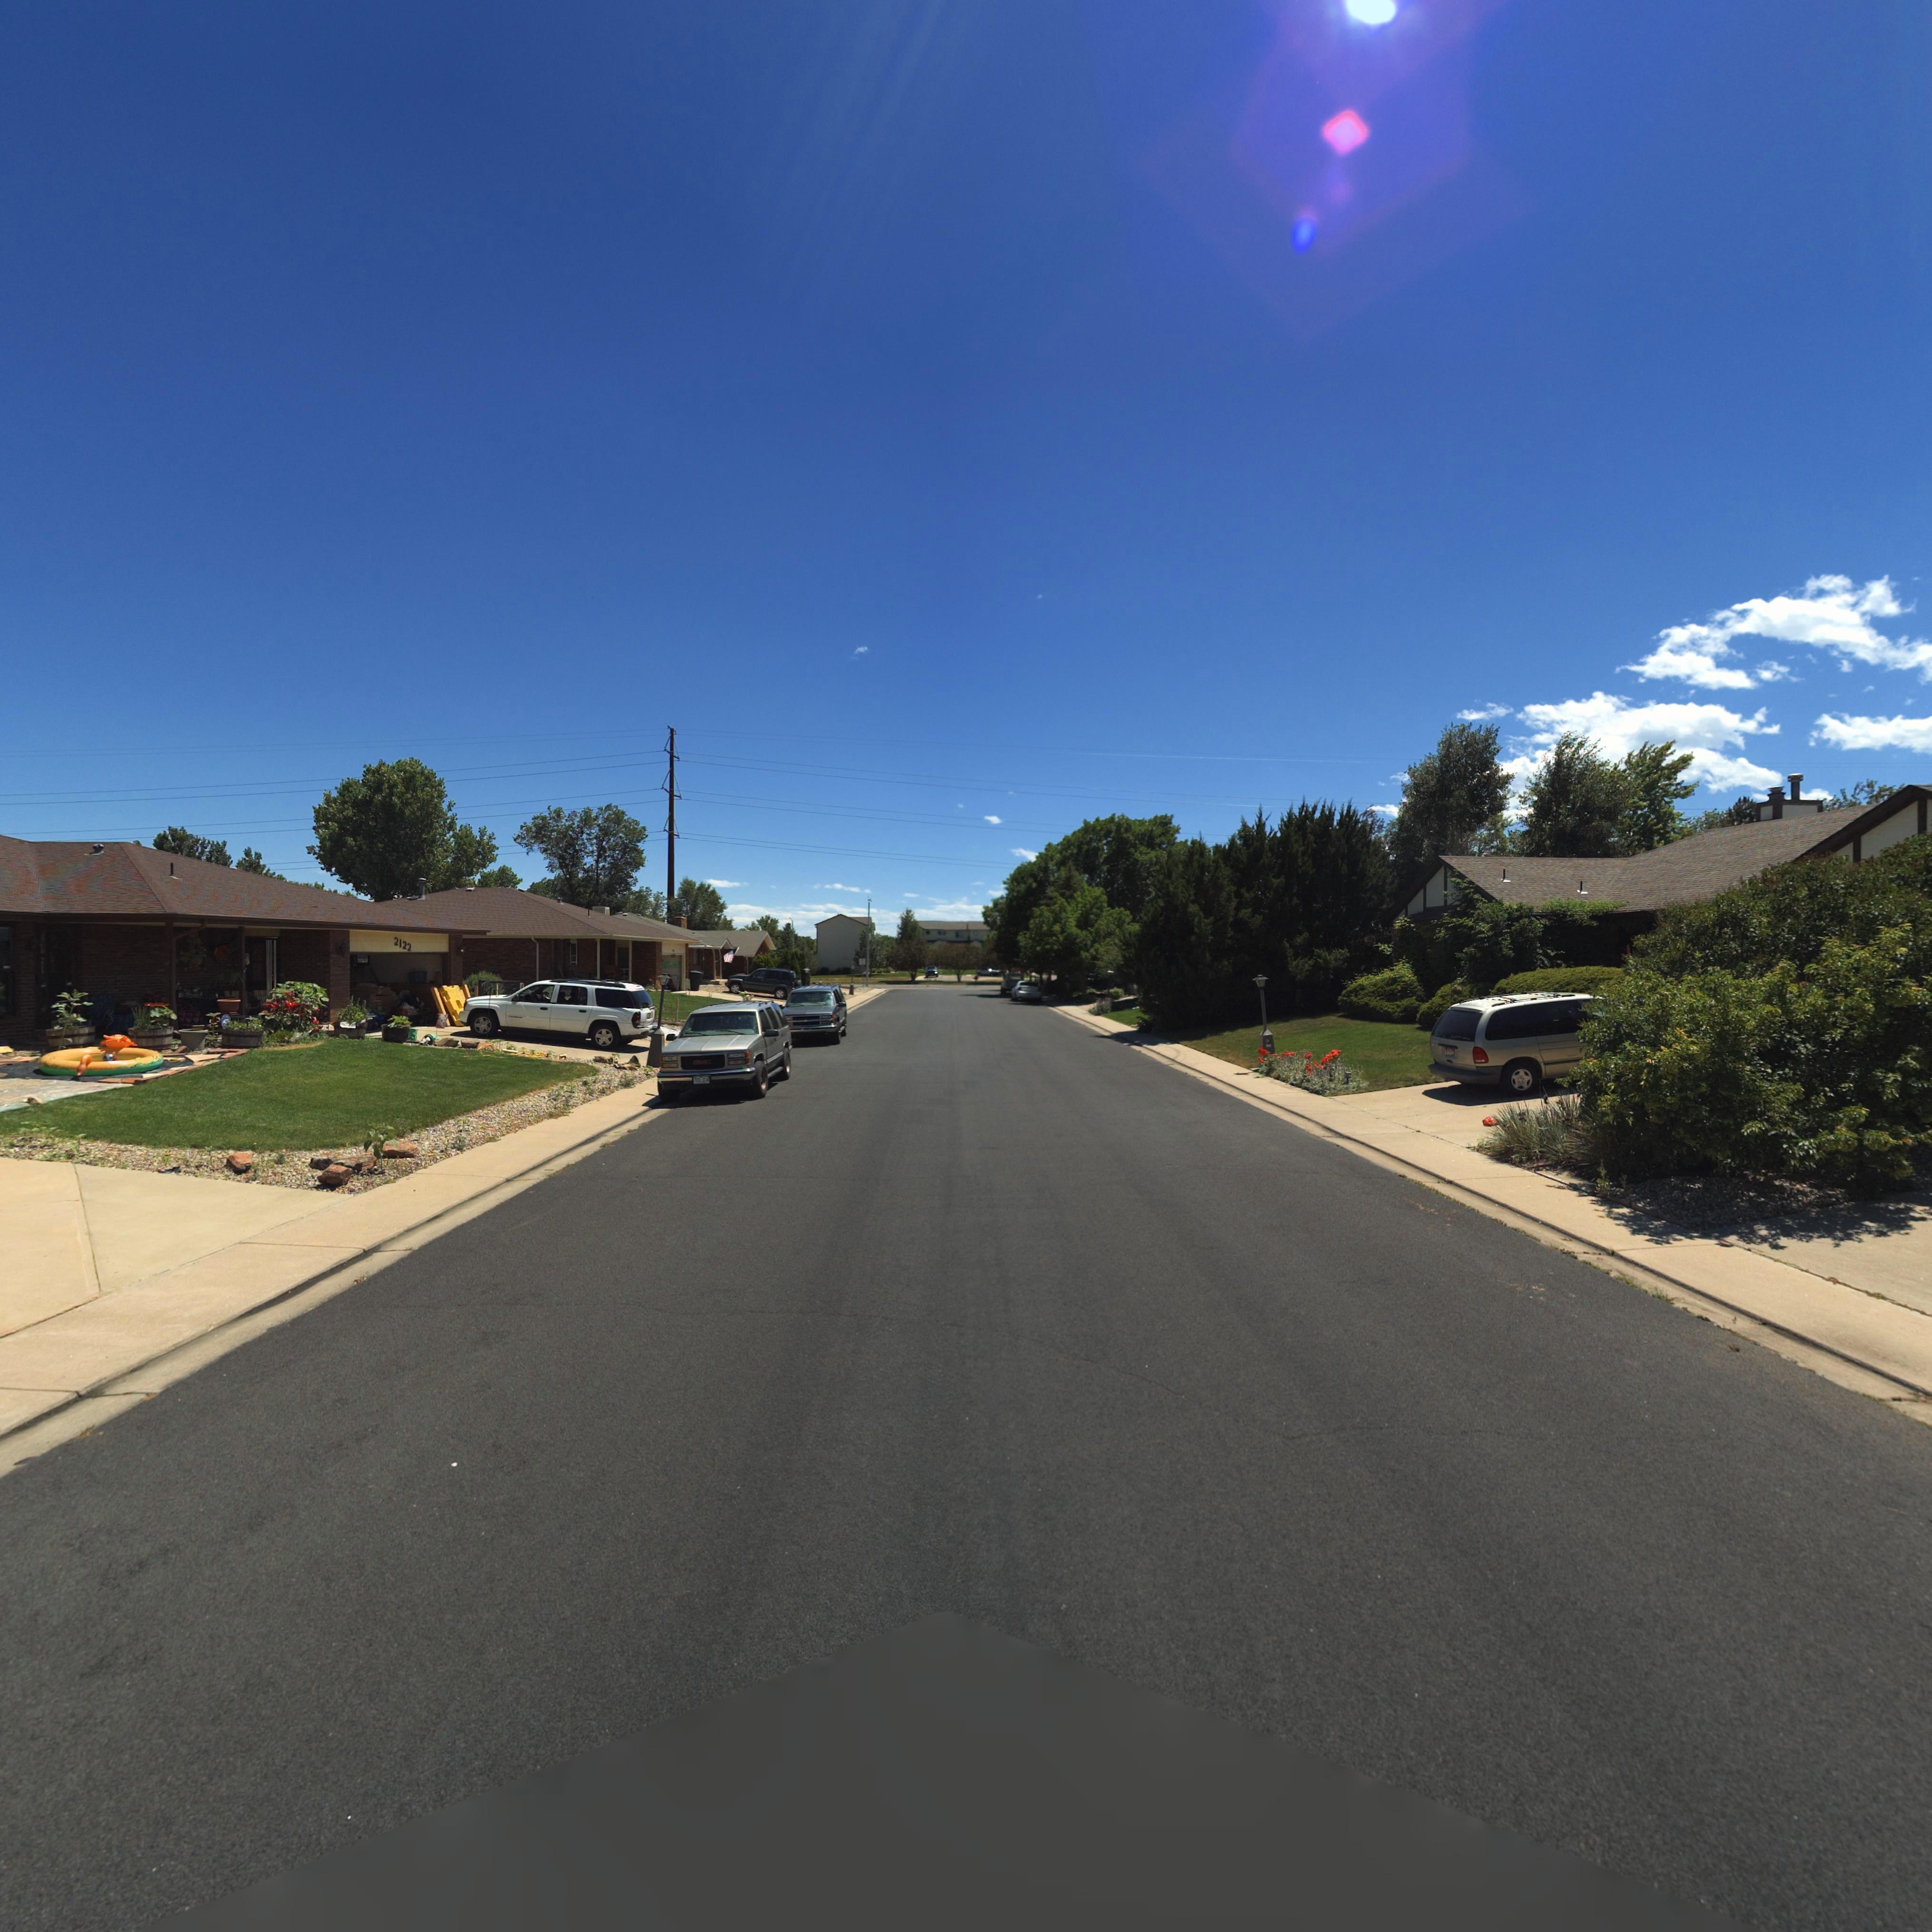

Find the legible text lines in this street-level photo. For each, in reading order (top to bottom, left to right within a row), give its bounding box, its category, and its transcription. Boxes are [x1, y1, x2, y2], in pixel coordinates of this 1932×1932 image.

[393, 936, 412, 951] StreetNumber: 2122